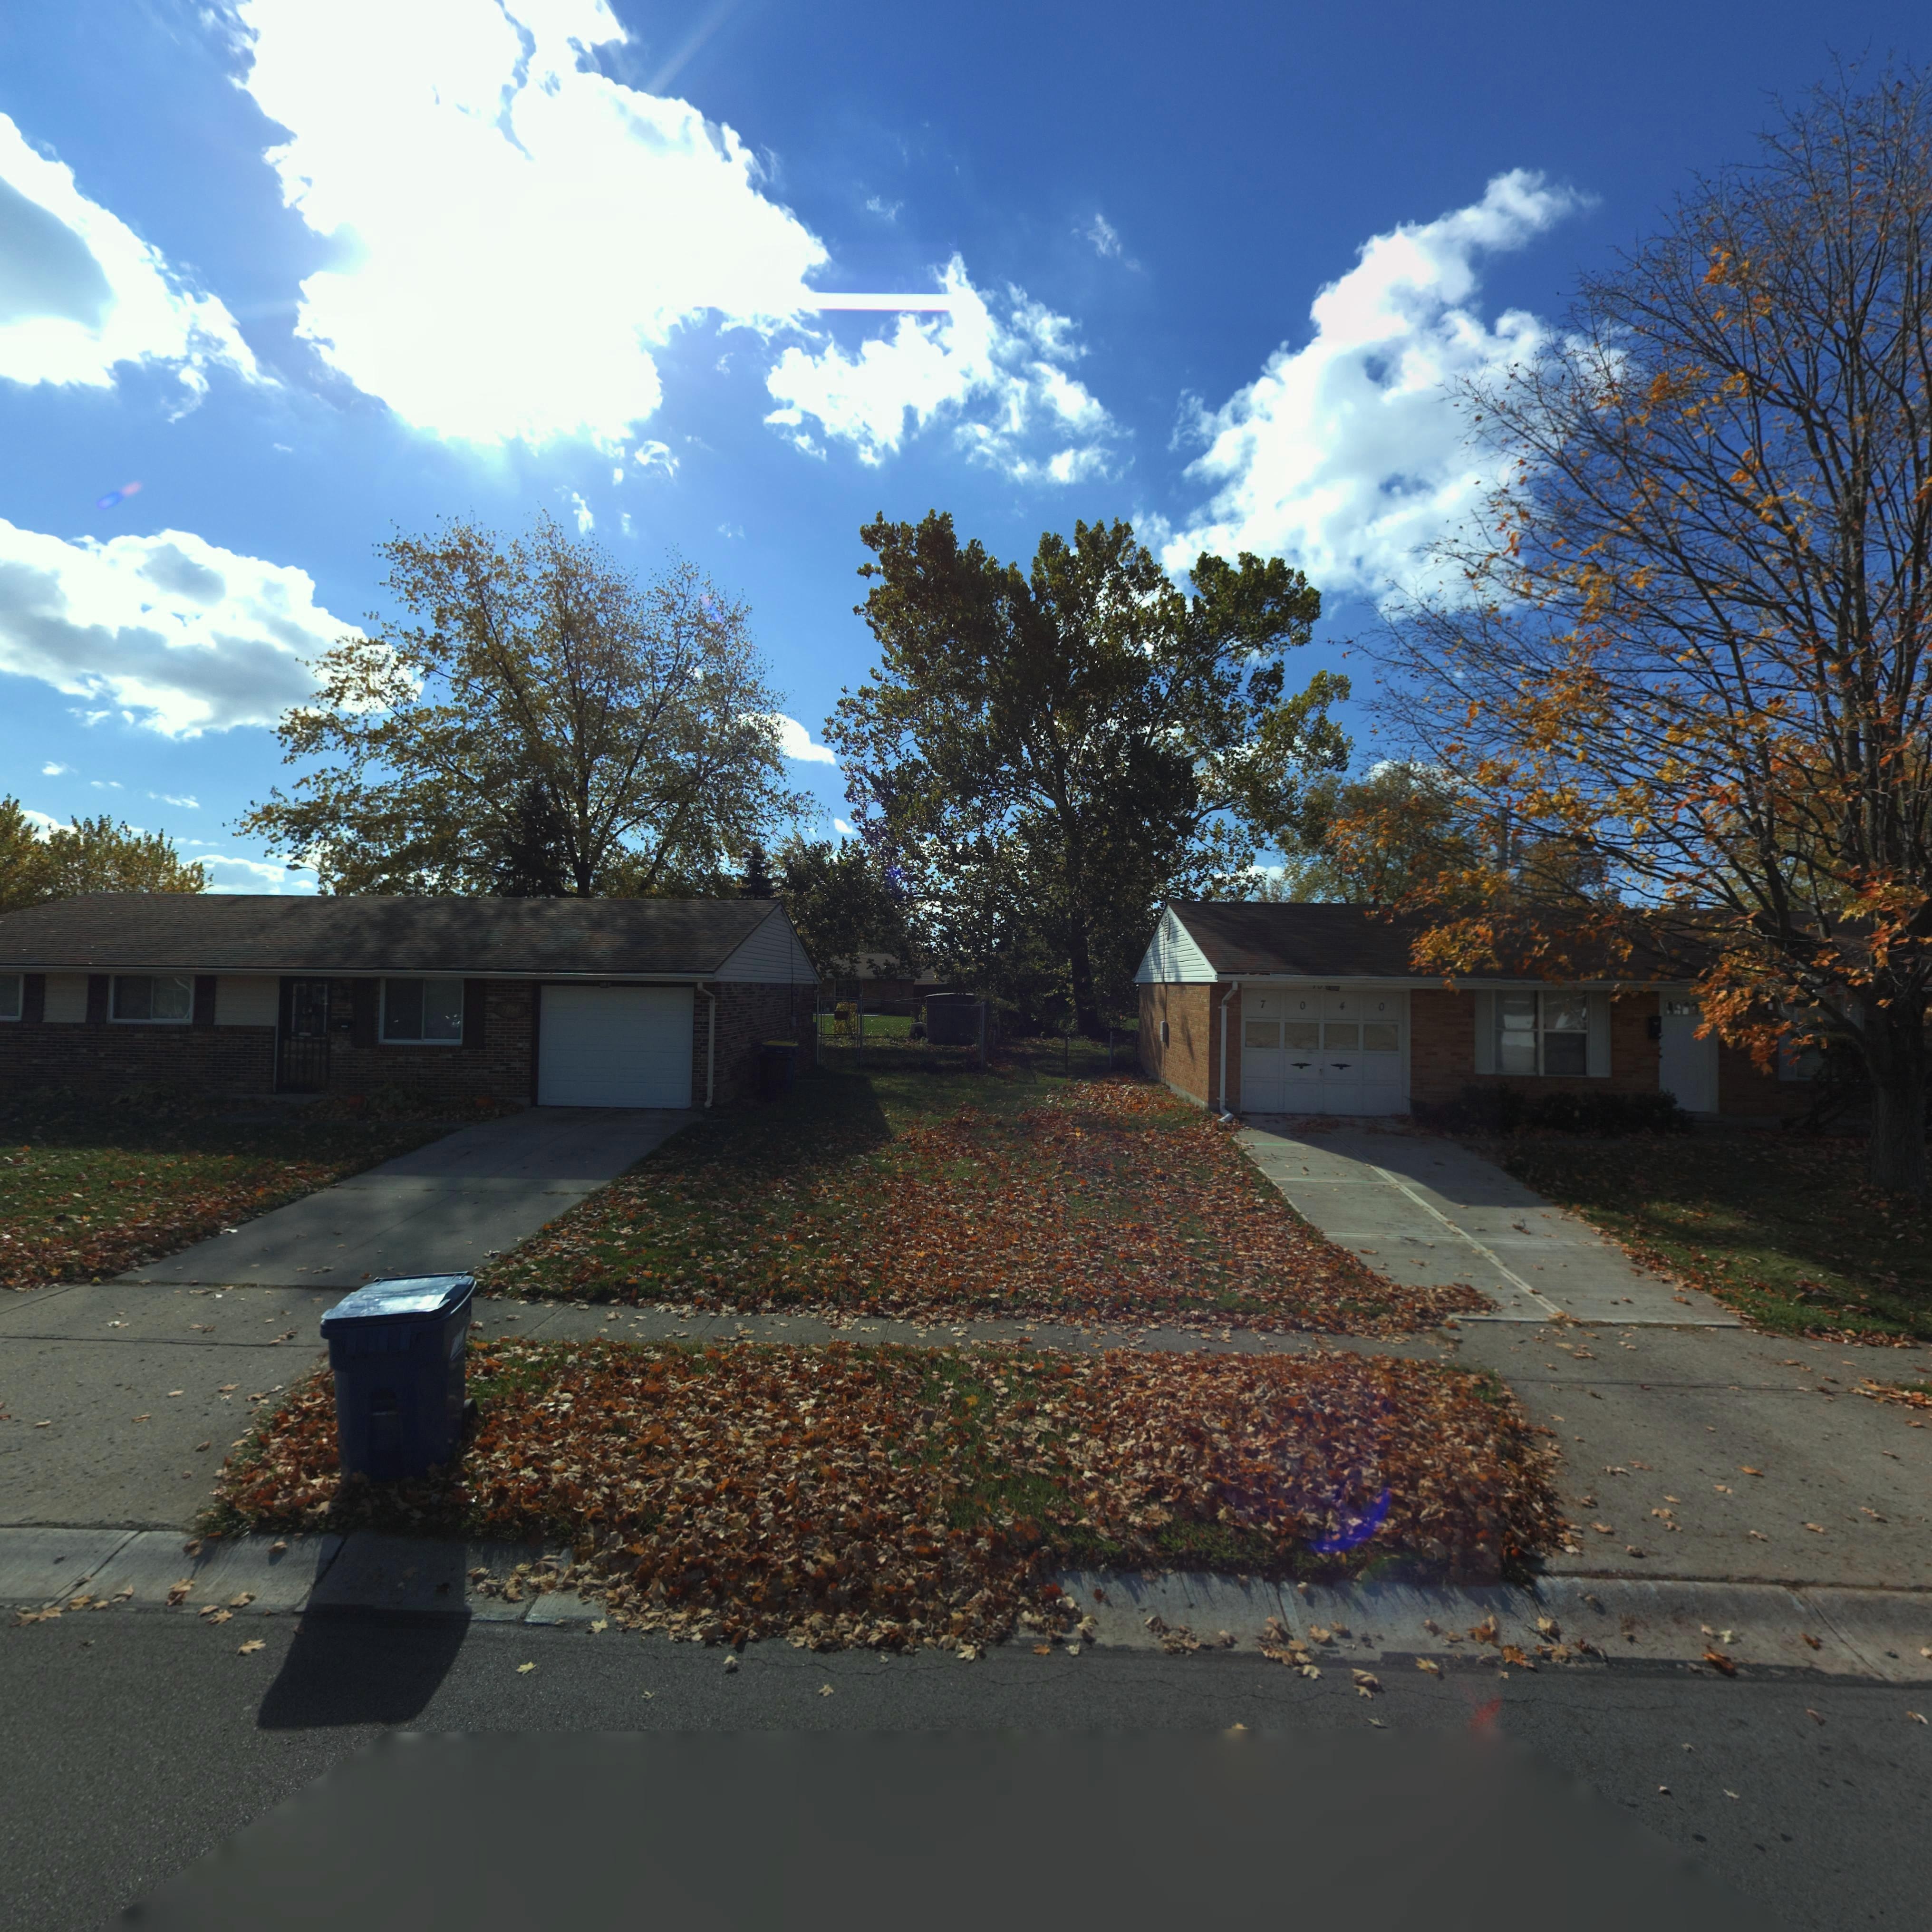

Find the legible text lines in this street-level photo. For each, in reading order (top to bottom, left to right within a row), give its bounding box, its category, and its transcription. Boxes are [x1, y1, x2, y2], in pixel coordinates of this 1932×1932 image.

[500, 1004, 522, 1014] StreetNumber: 70*0
[1259, 999, 1386, 1013] StreetNumber: 7*0*4*0